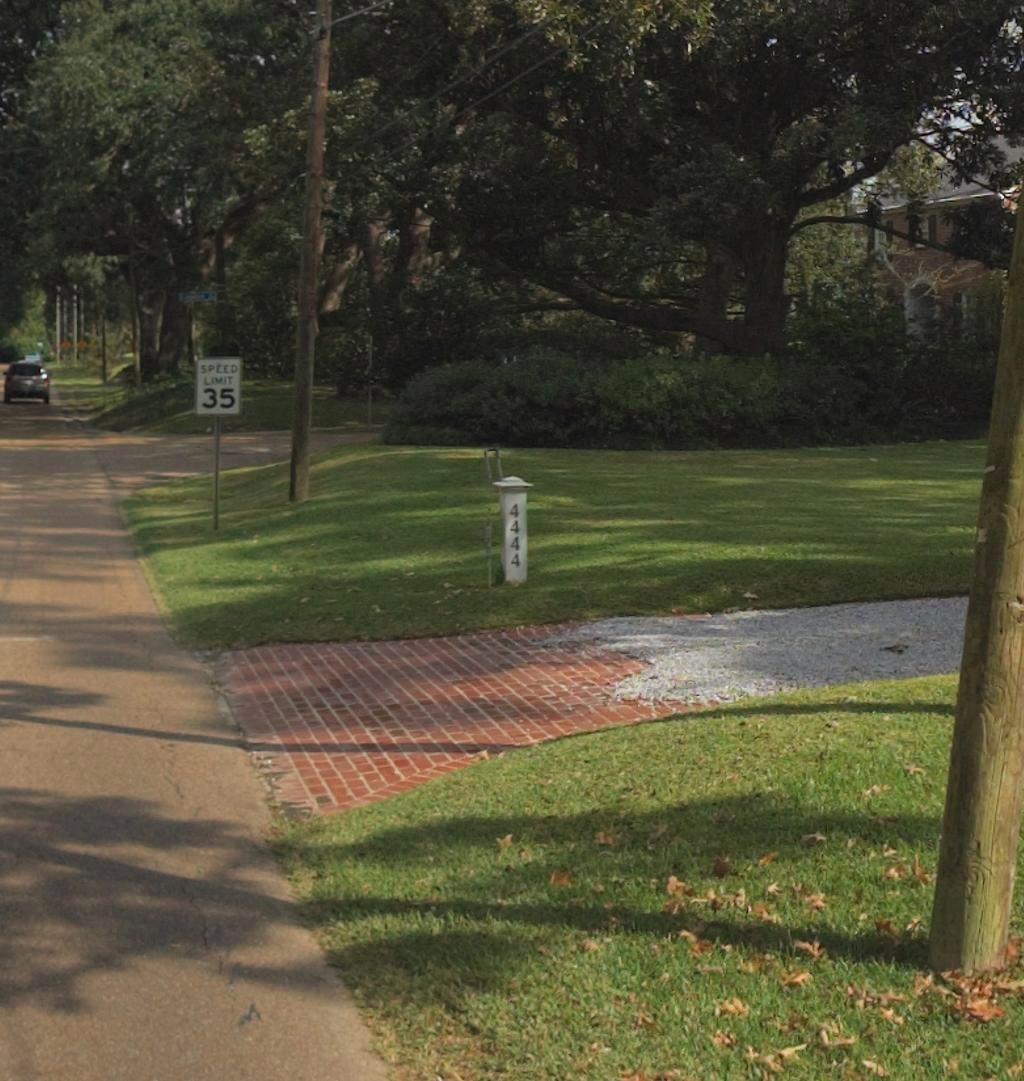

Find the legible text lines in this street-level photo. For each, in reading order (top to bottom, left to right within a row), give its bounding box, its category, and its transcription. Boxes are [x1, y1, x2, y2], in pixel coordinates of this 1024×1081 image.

[199, 362, 239, 374] None: SPEED
[201, 374, 236, 387] None: LIMIT
[200, 386, 237, 409] None: 35\
[508, 500, 523, 570] StreetNumber: 4444